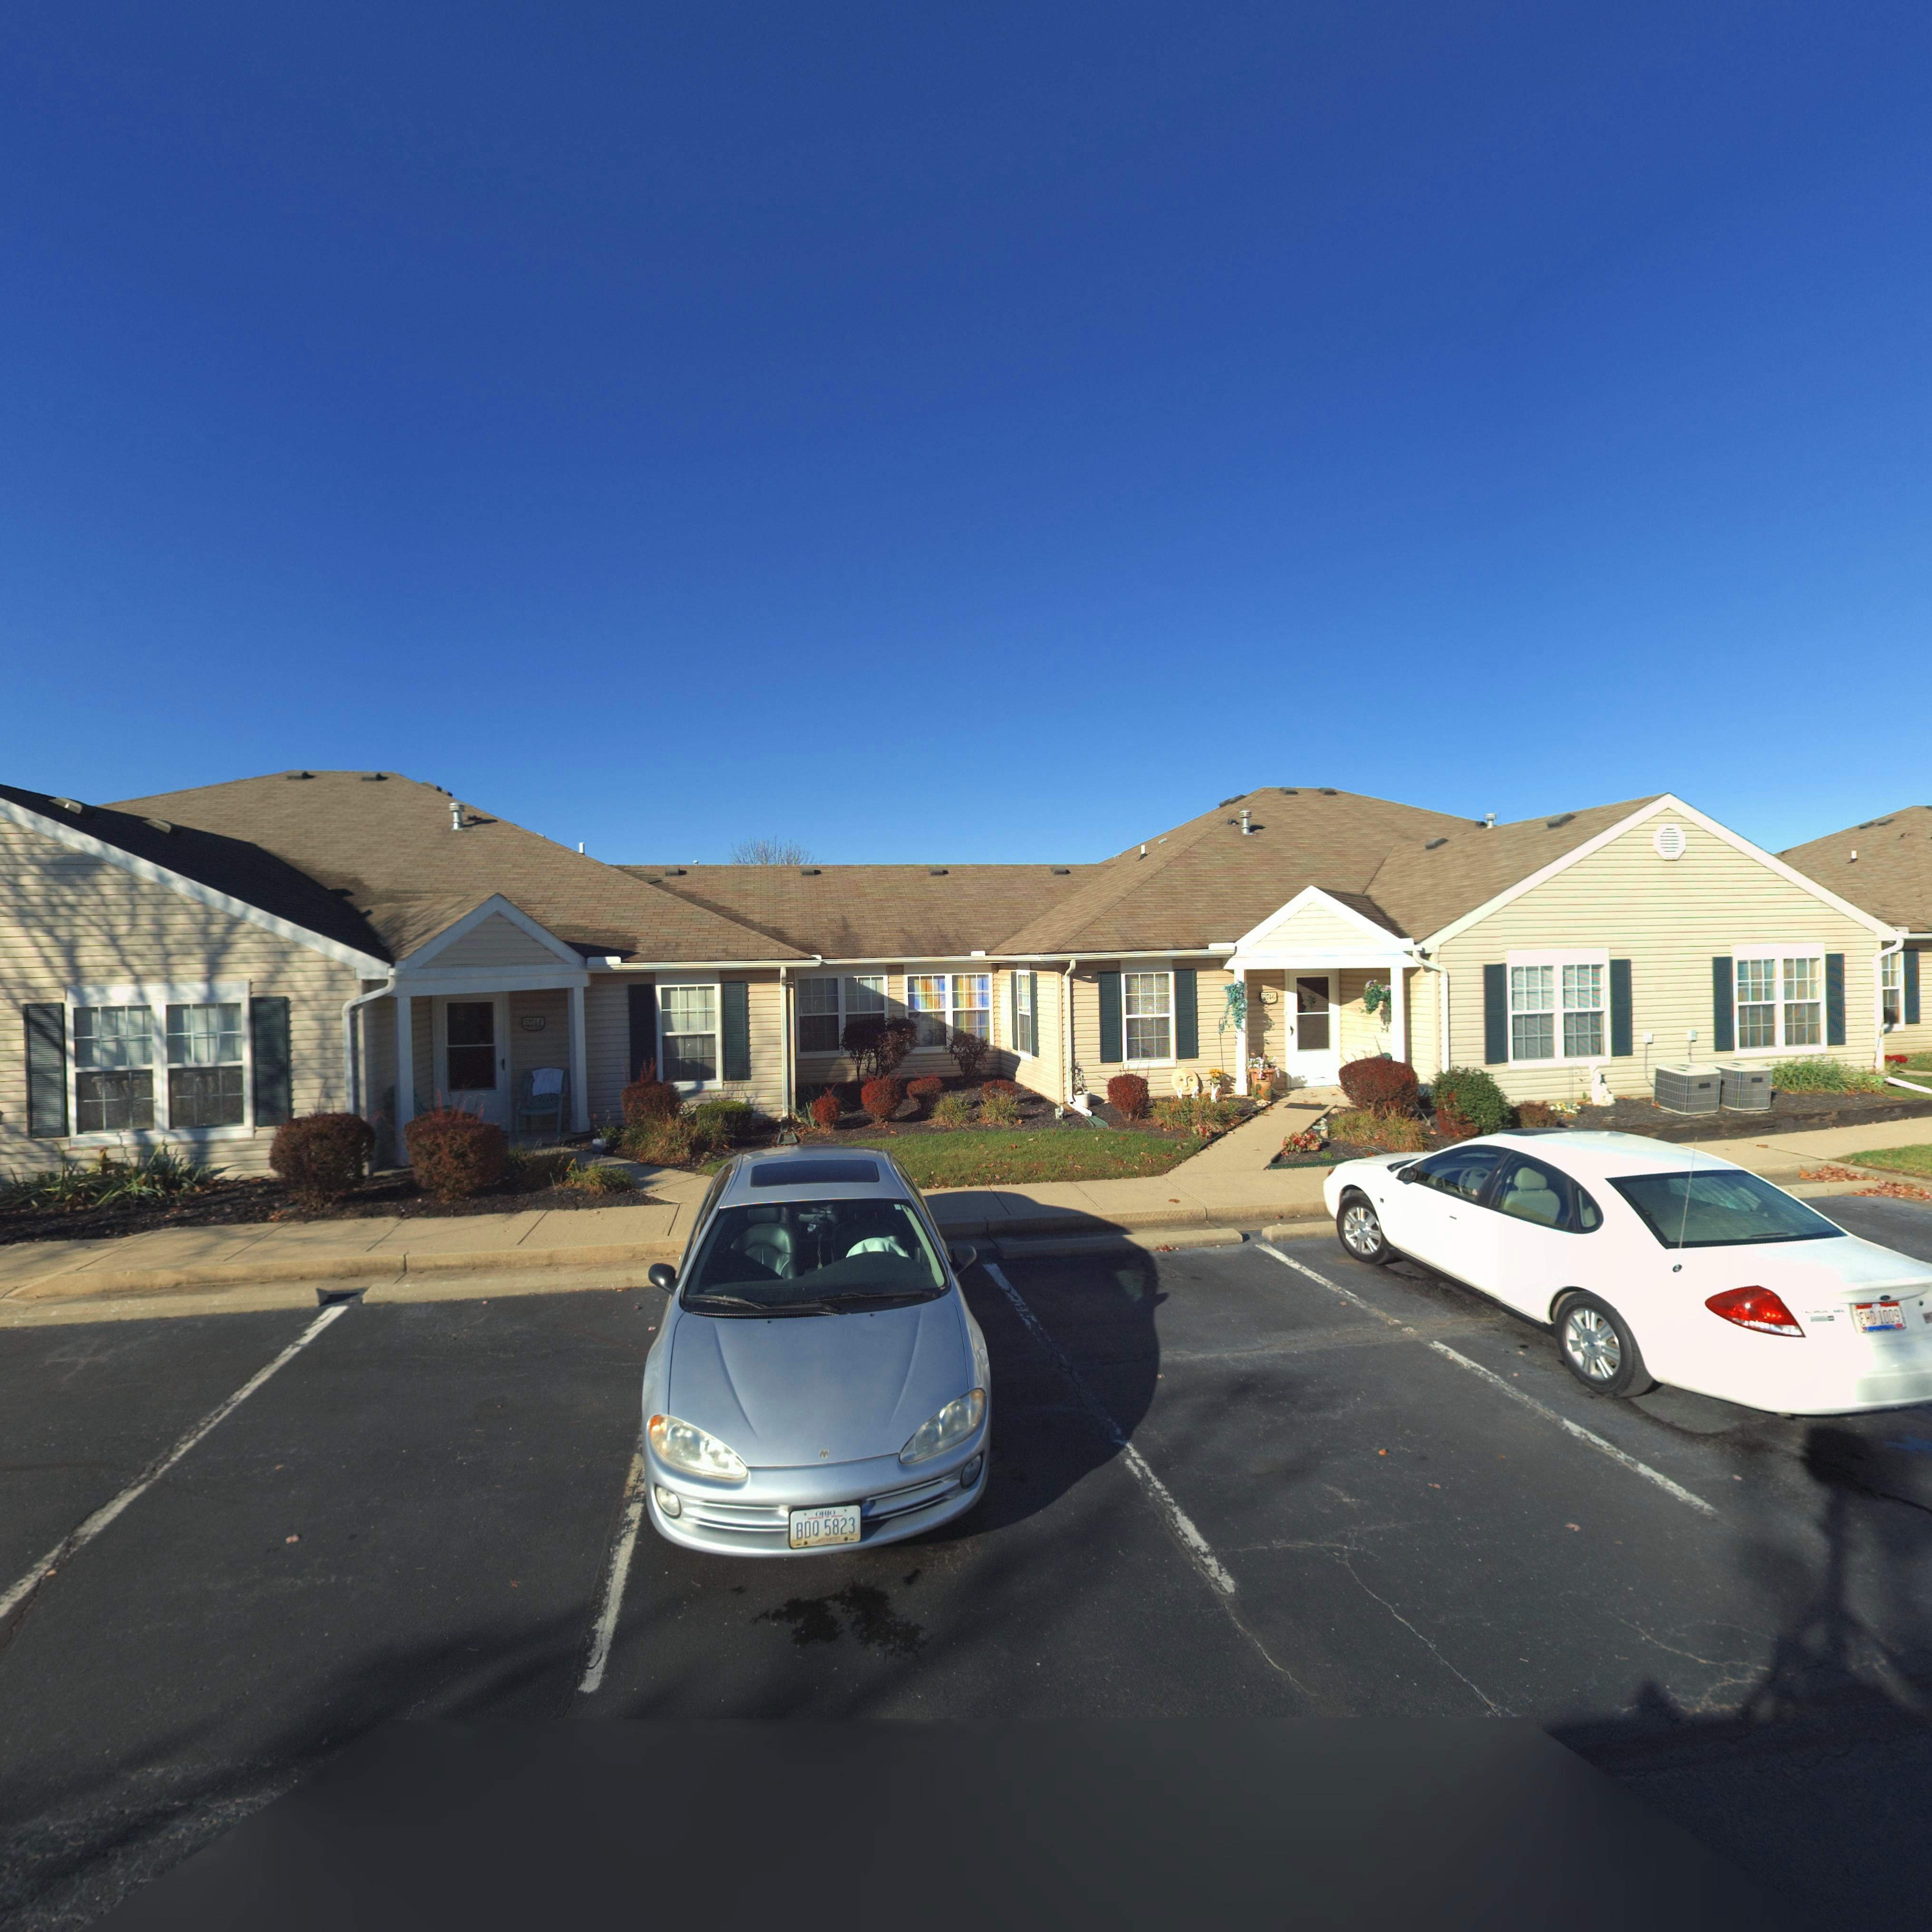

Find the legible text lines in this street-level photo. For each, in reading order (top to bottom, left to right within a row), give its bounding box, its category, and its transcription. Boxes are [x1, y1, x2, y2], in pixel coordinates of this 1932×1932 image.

[1261, 993, 1276, 1001] StreetNumber: 5*74-G
[523, 1018, 543, 1027] StreetNumber: 5274-E